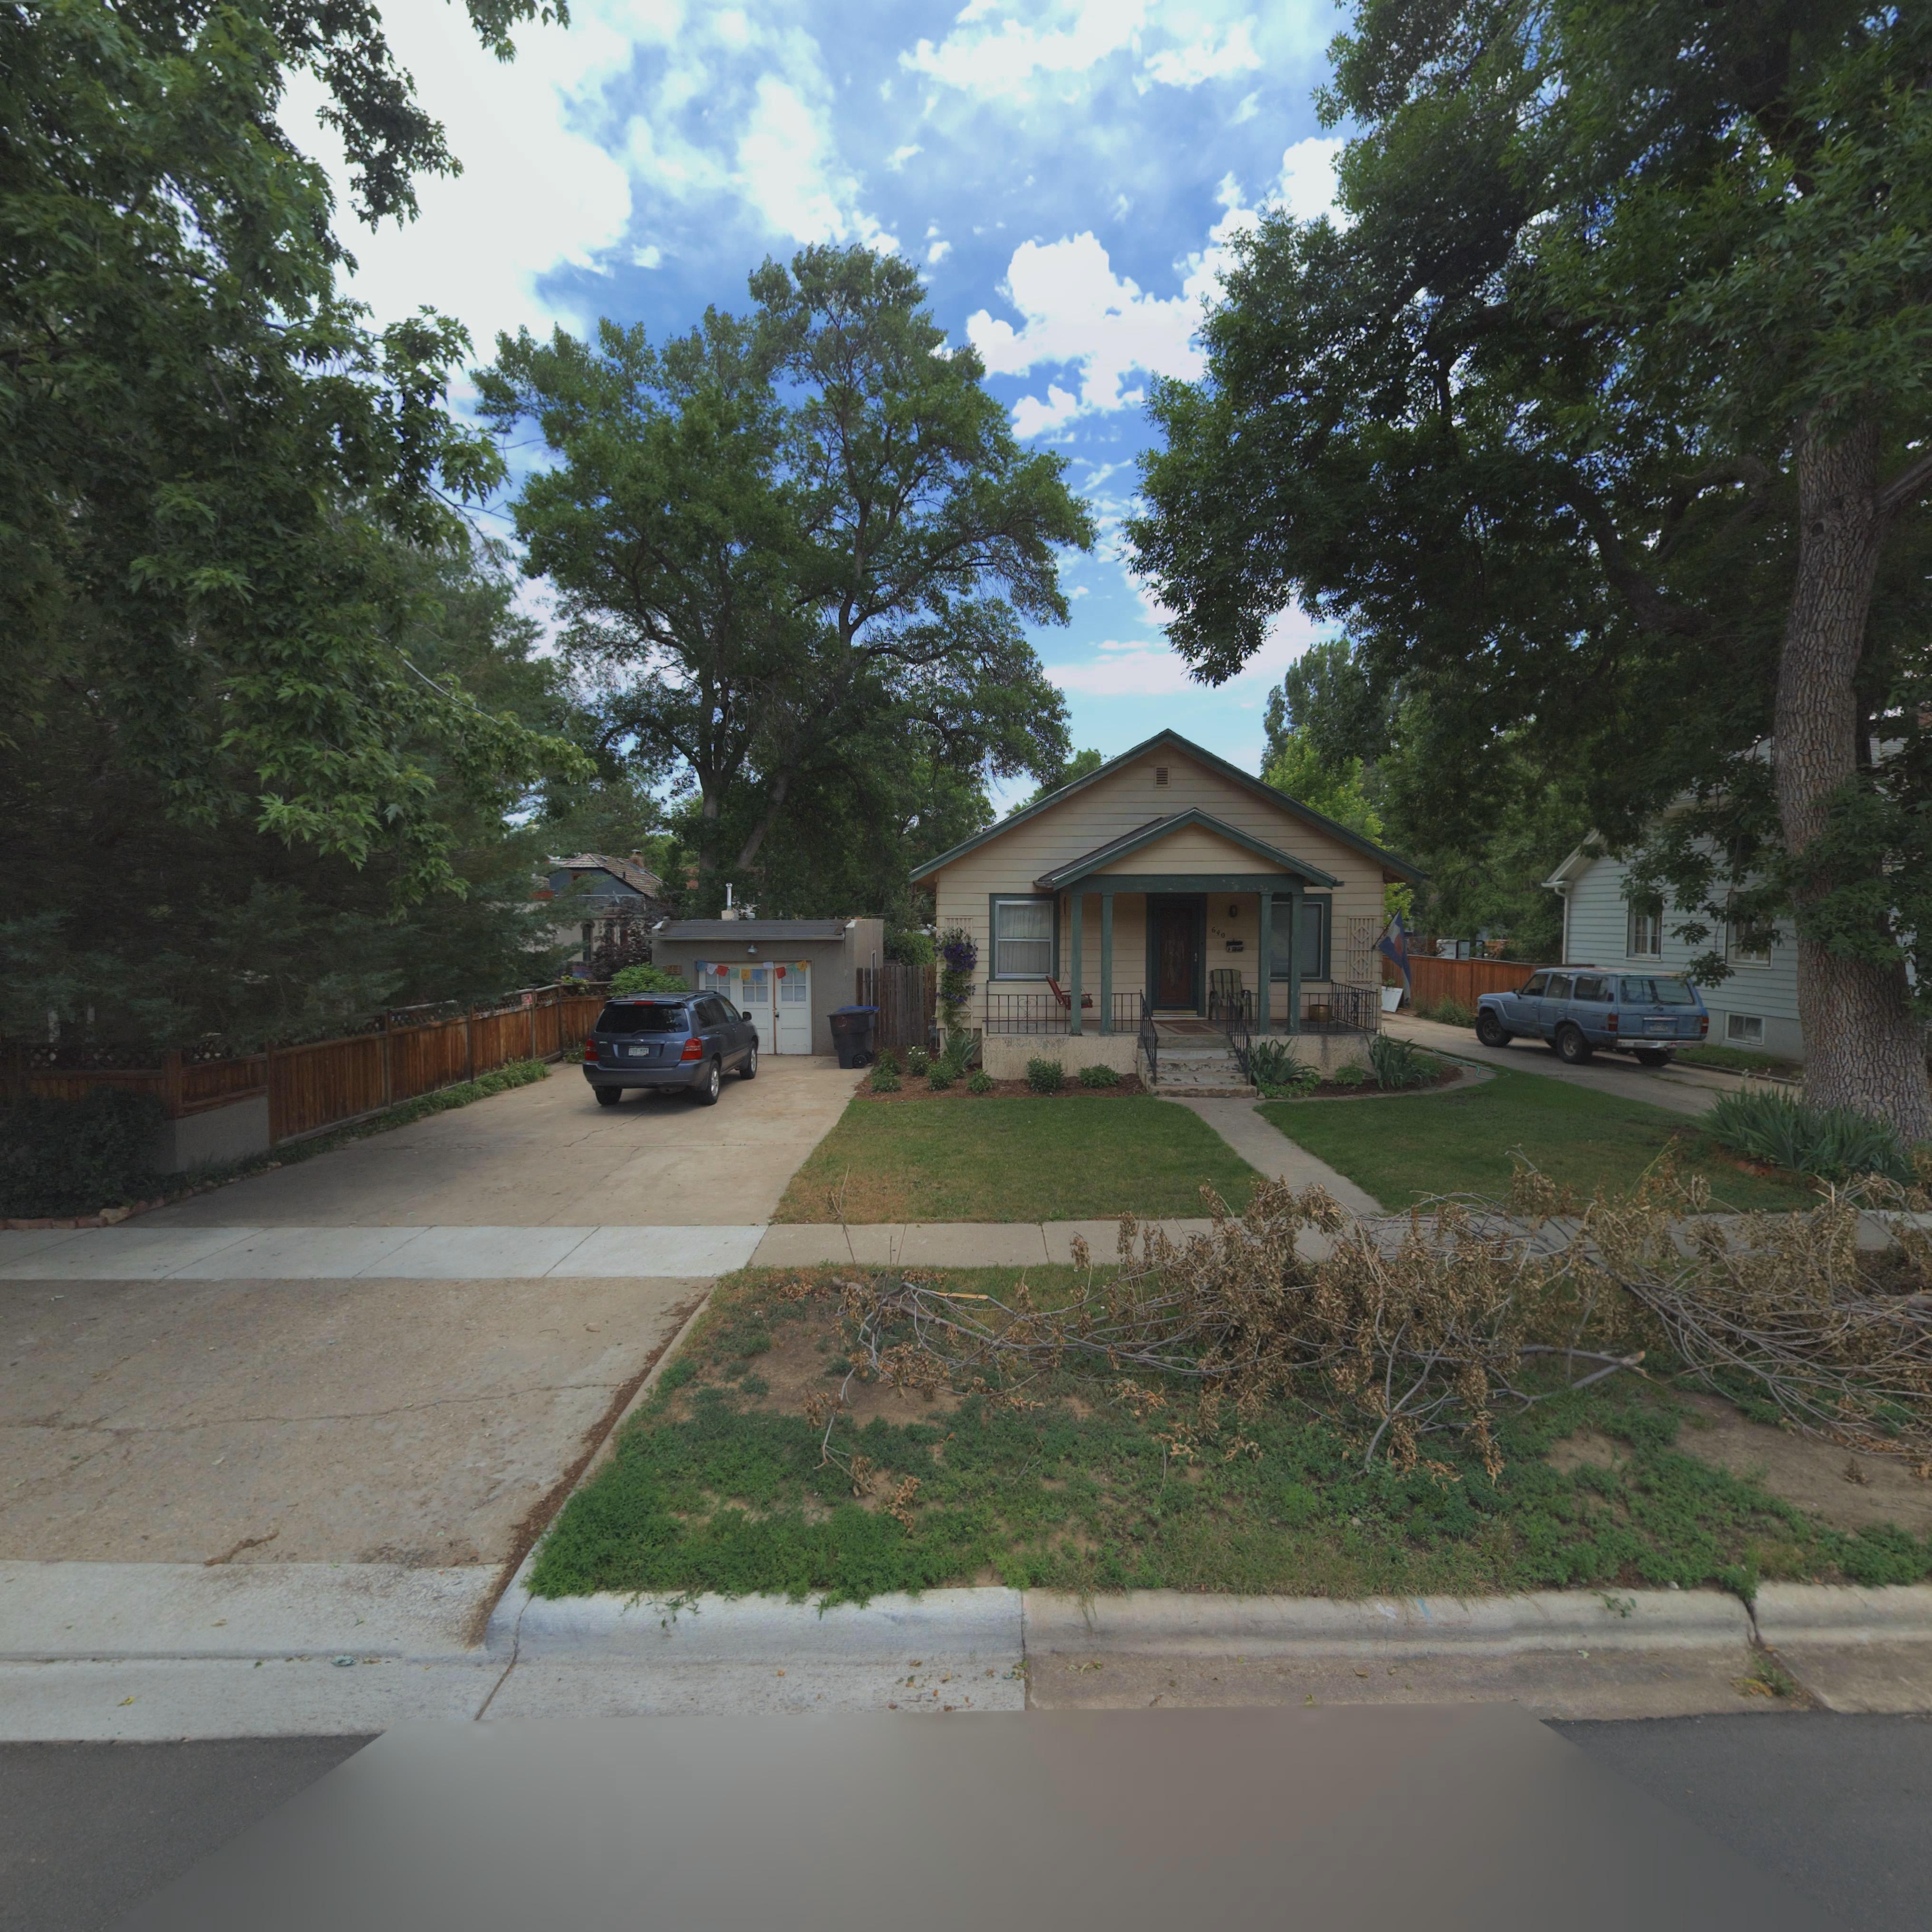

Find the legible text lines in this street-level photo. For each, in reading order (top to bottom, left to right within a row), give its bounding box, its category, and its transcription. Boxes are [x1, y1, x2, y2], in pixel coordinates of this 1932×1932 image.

[1211, 926, 1225, 938] StreetNumber: 640